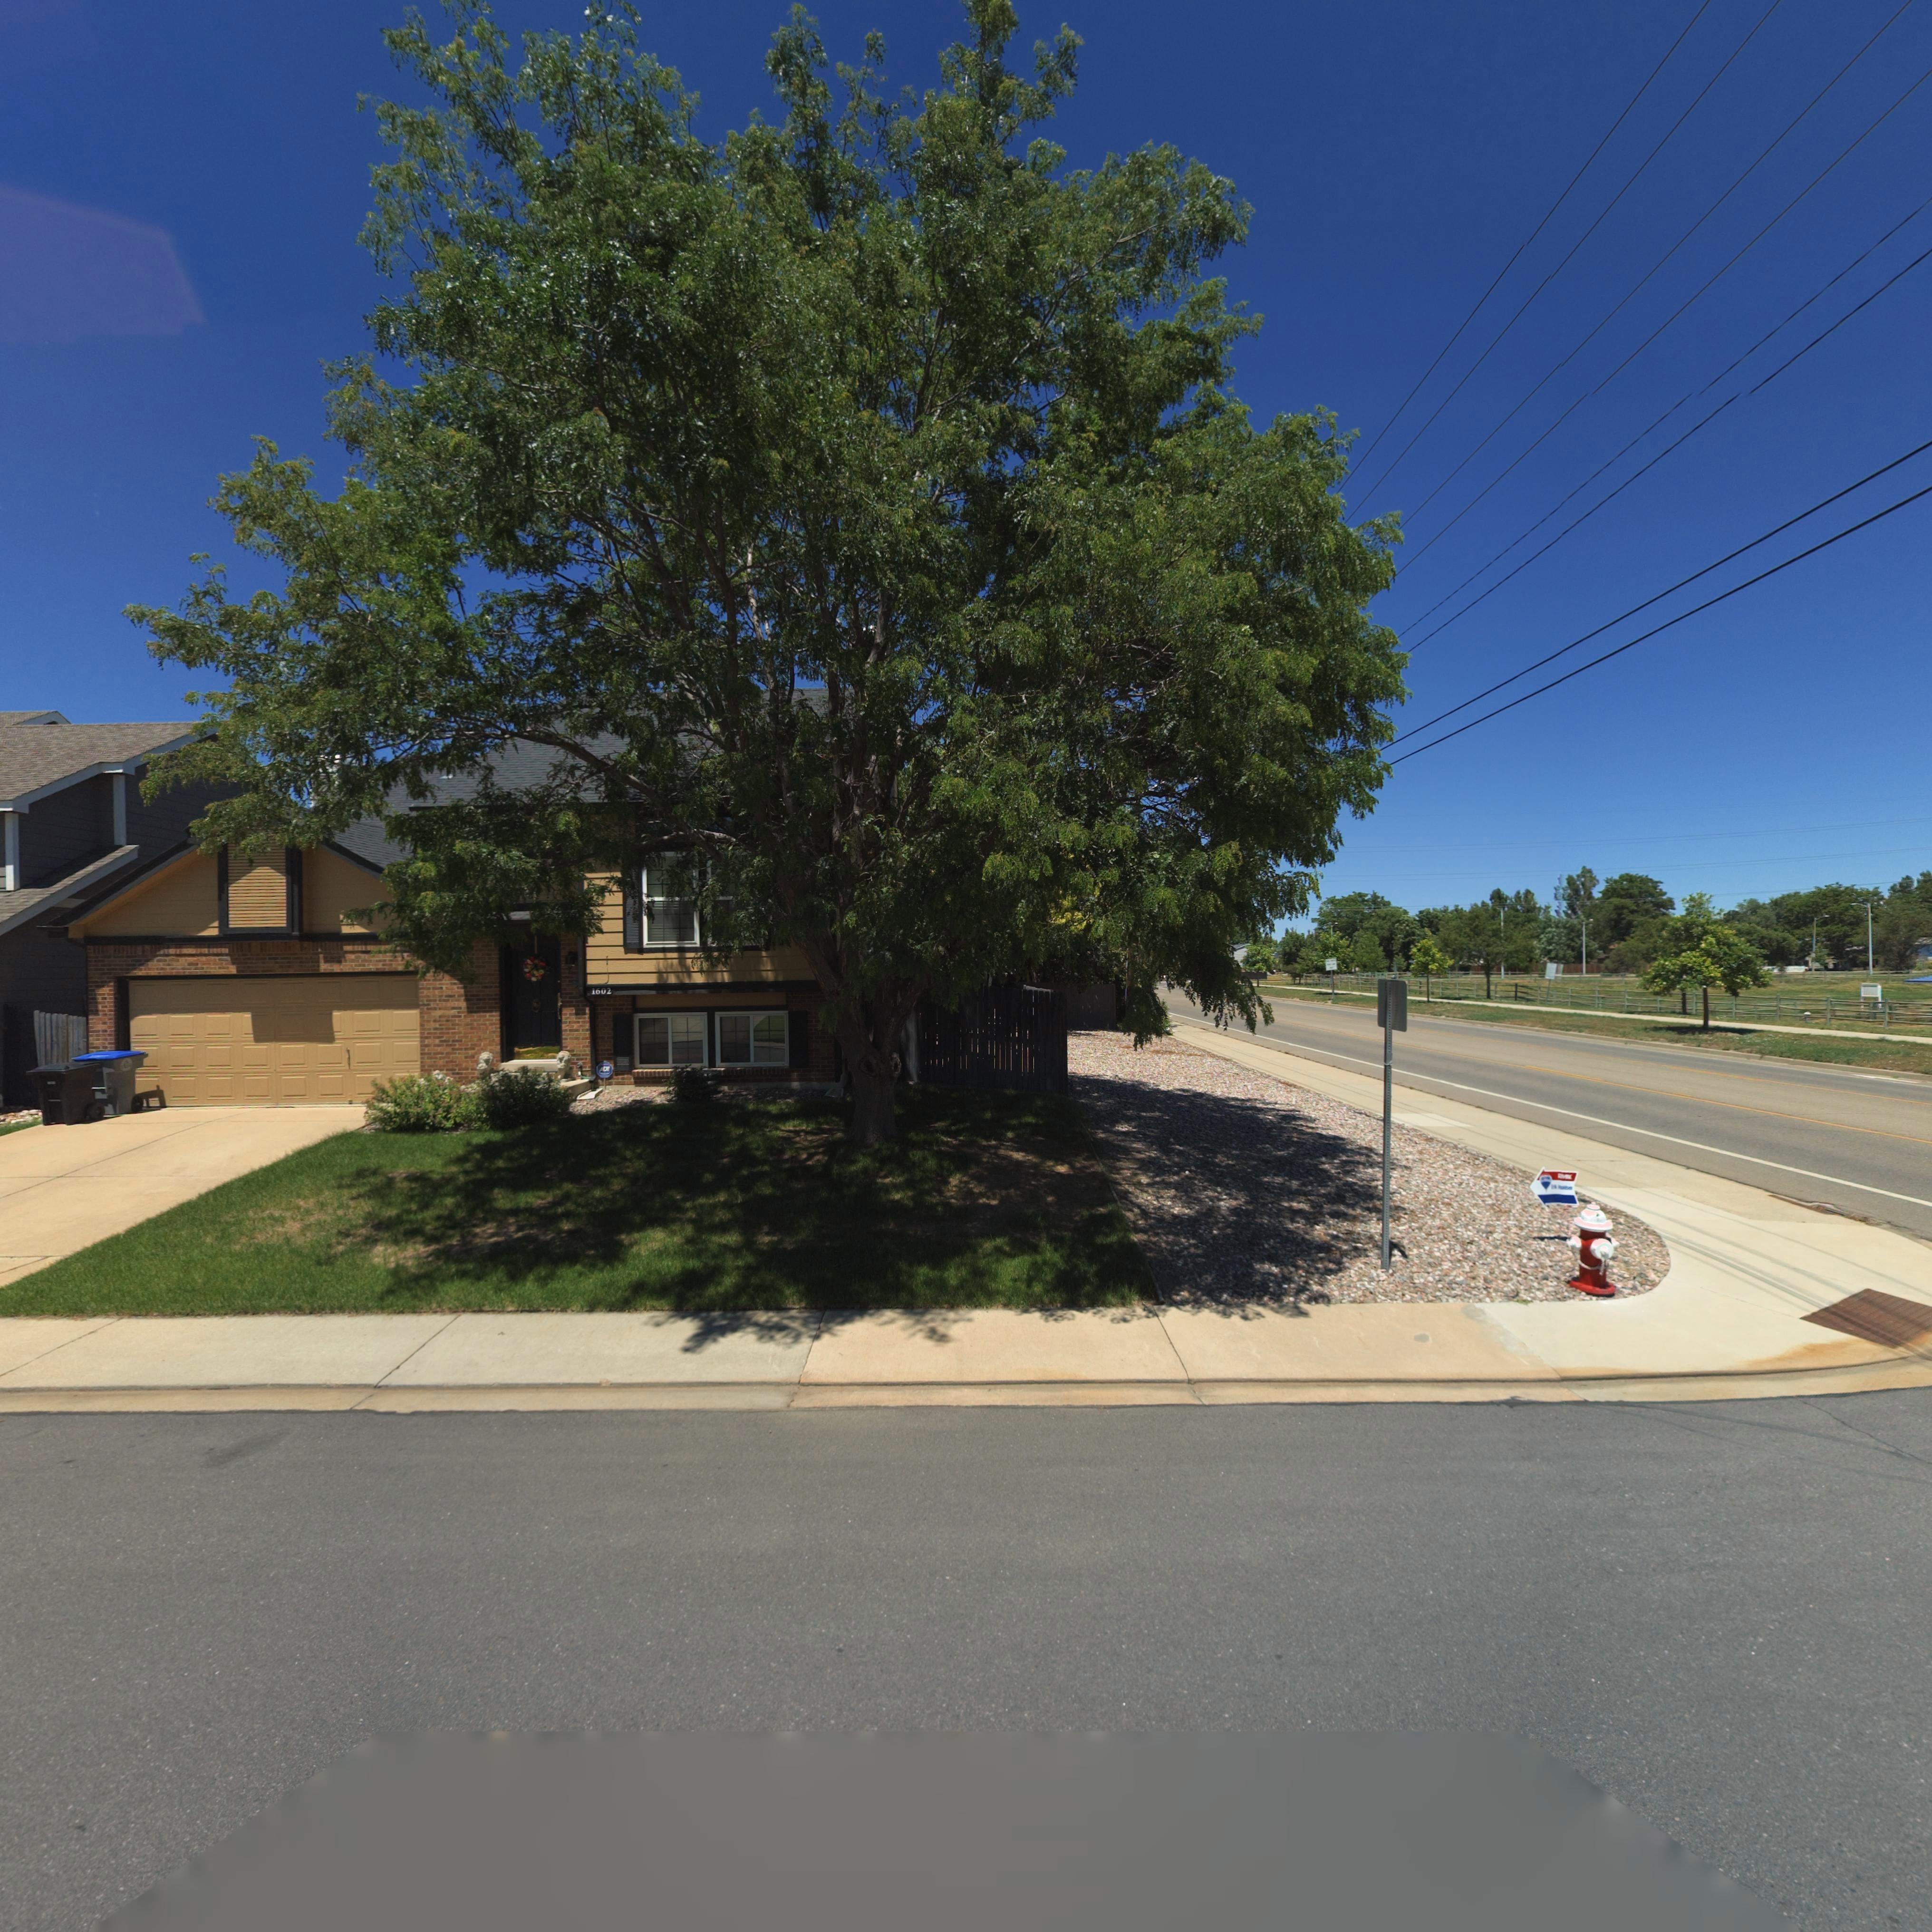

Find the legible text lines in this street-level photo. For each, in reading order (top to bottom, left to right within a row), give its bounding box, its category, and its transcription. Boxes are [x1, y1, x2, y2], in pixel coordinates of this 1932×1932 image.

[591, 988, 612, 995] StreetNumber: 1602